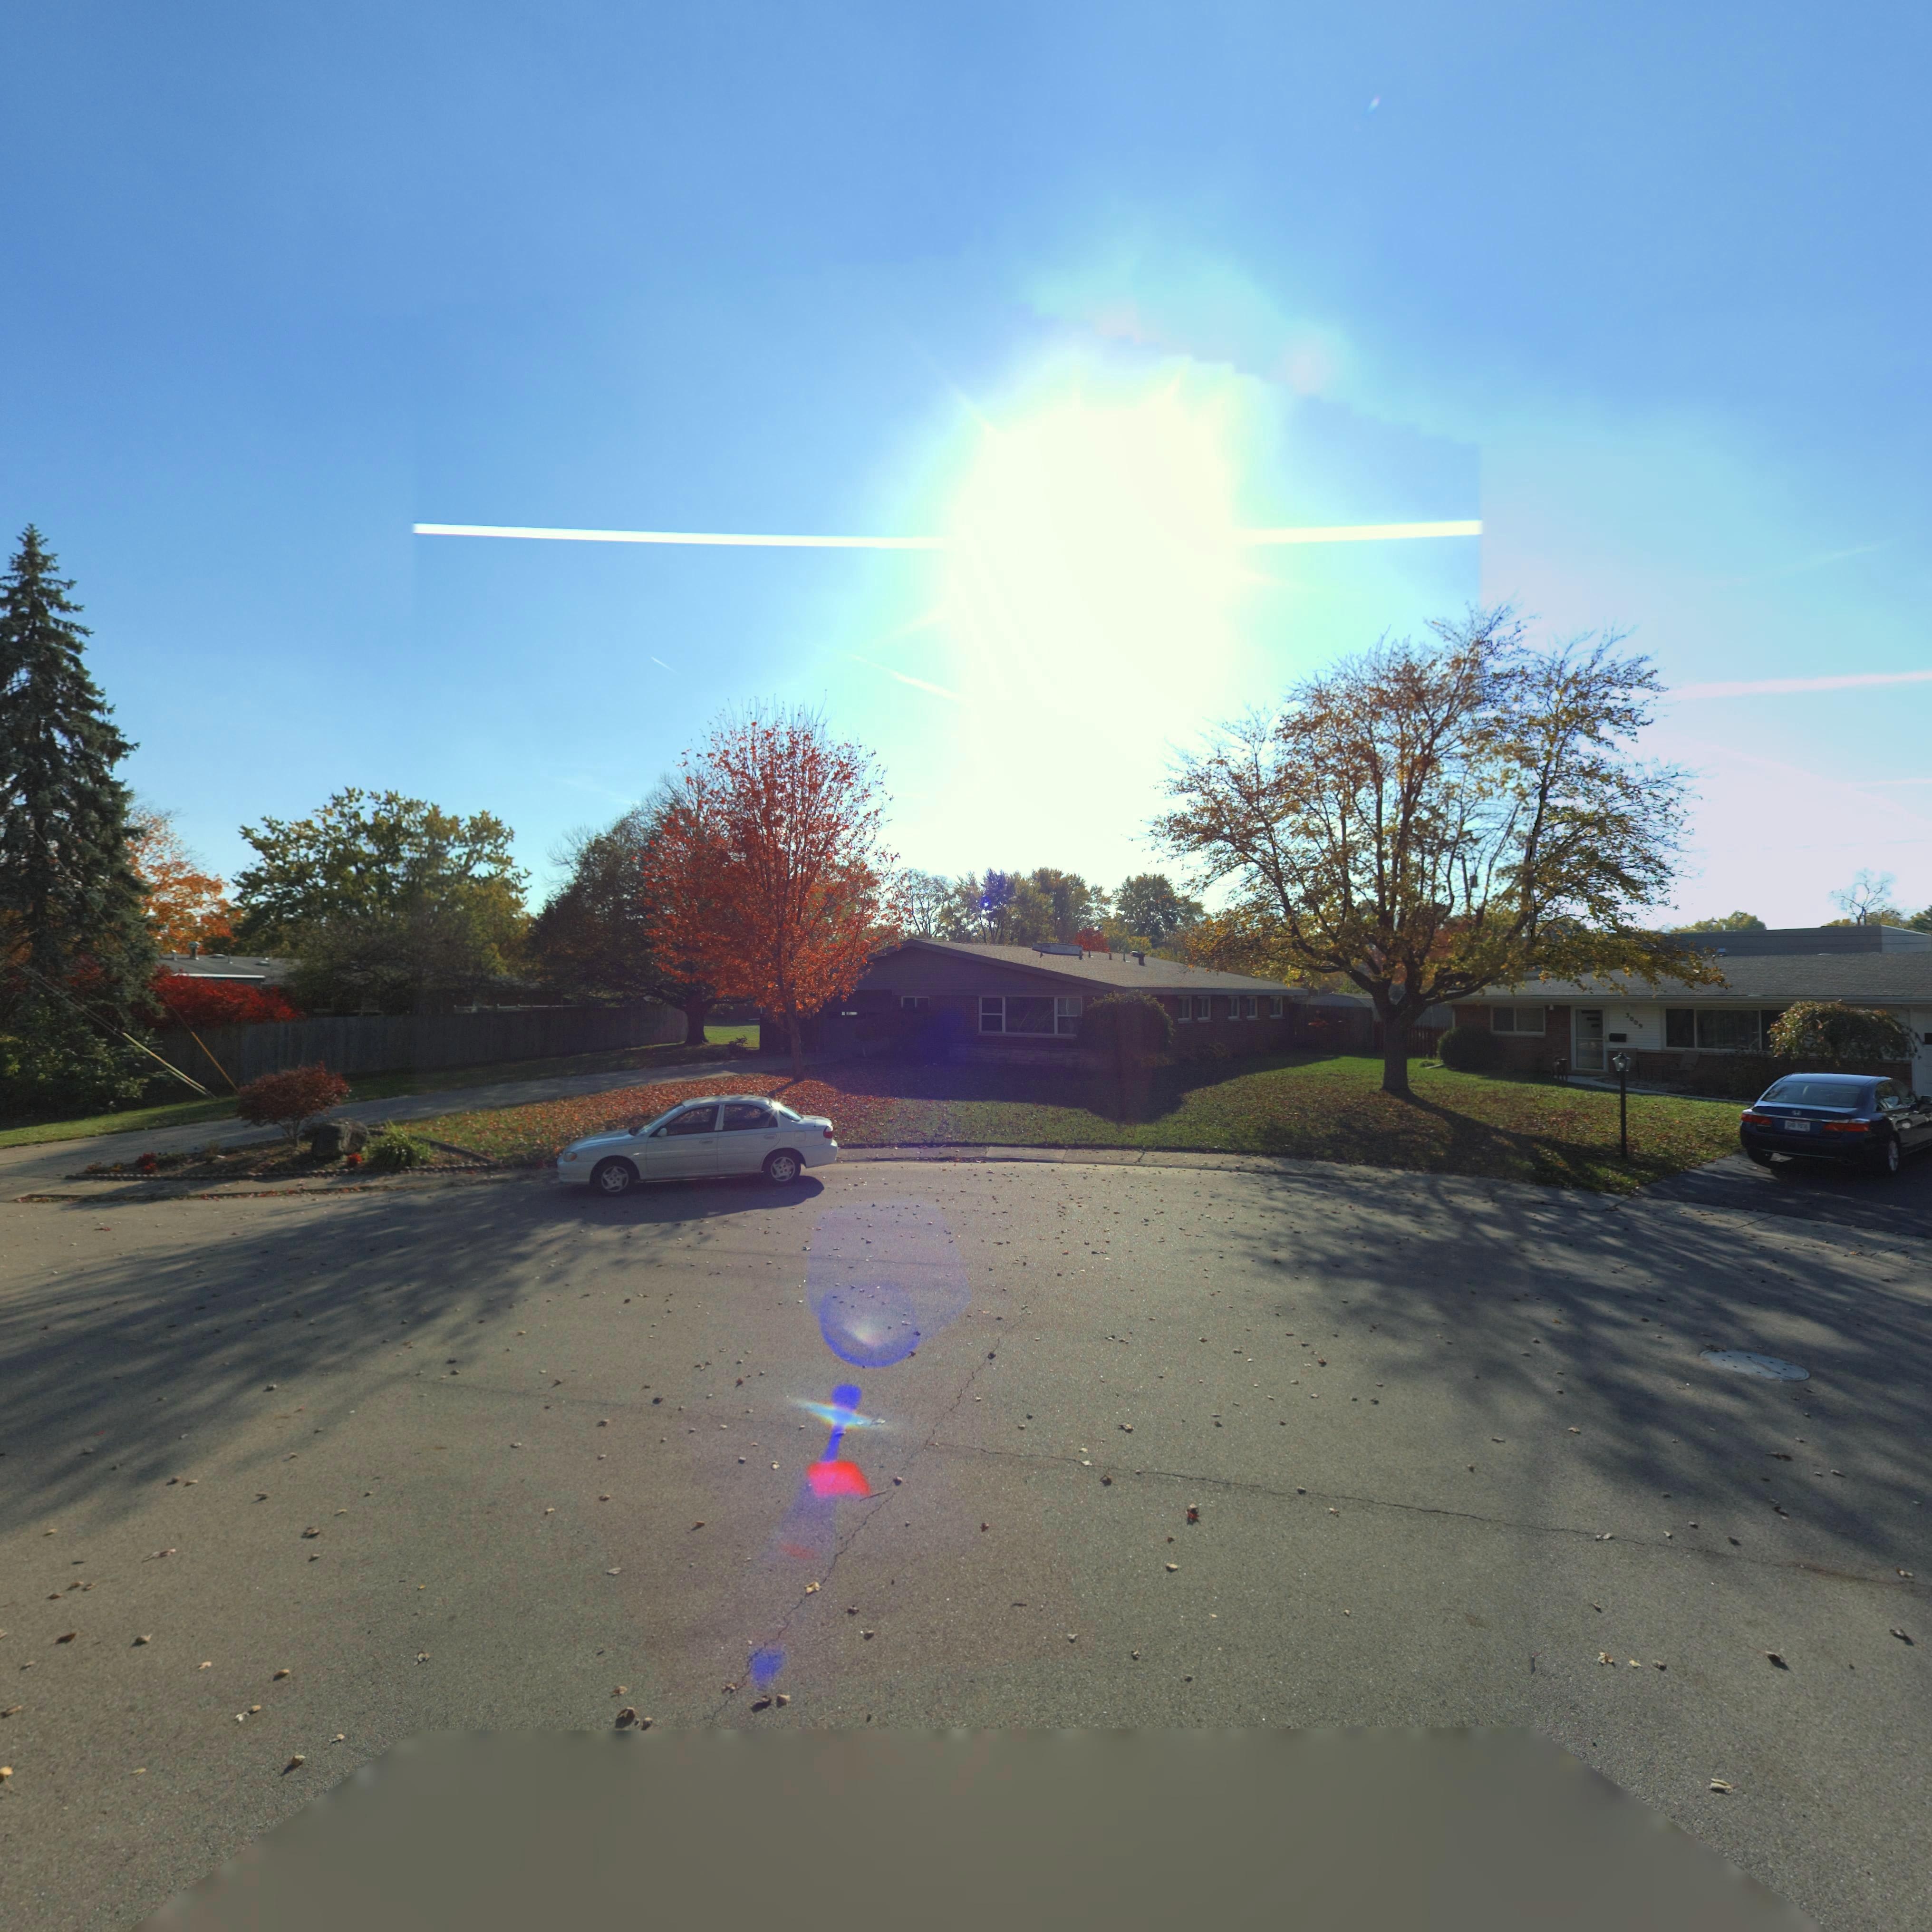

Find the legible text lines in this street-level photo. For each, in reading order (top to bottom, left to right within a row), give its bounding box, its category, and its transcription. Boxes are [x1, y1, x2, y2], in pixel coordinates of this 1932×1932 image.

[1623, 1012, 1643, 1030] StreetNumber: 3009